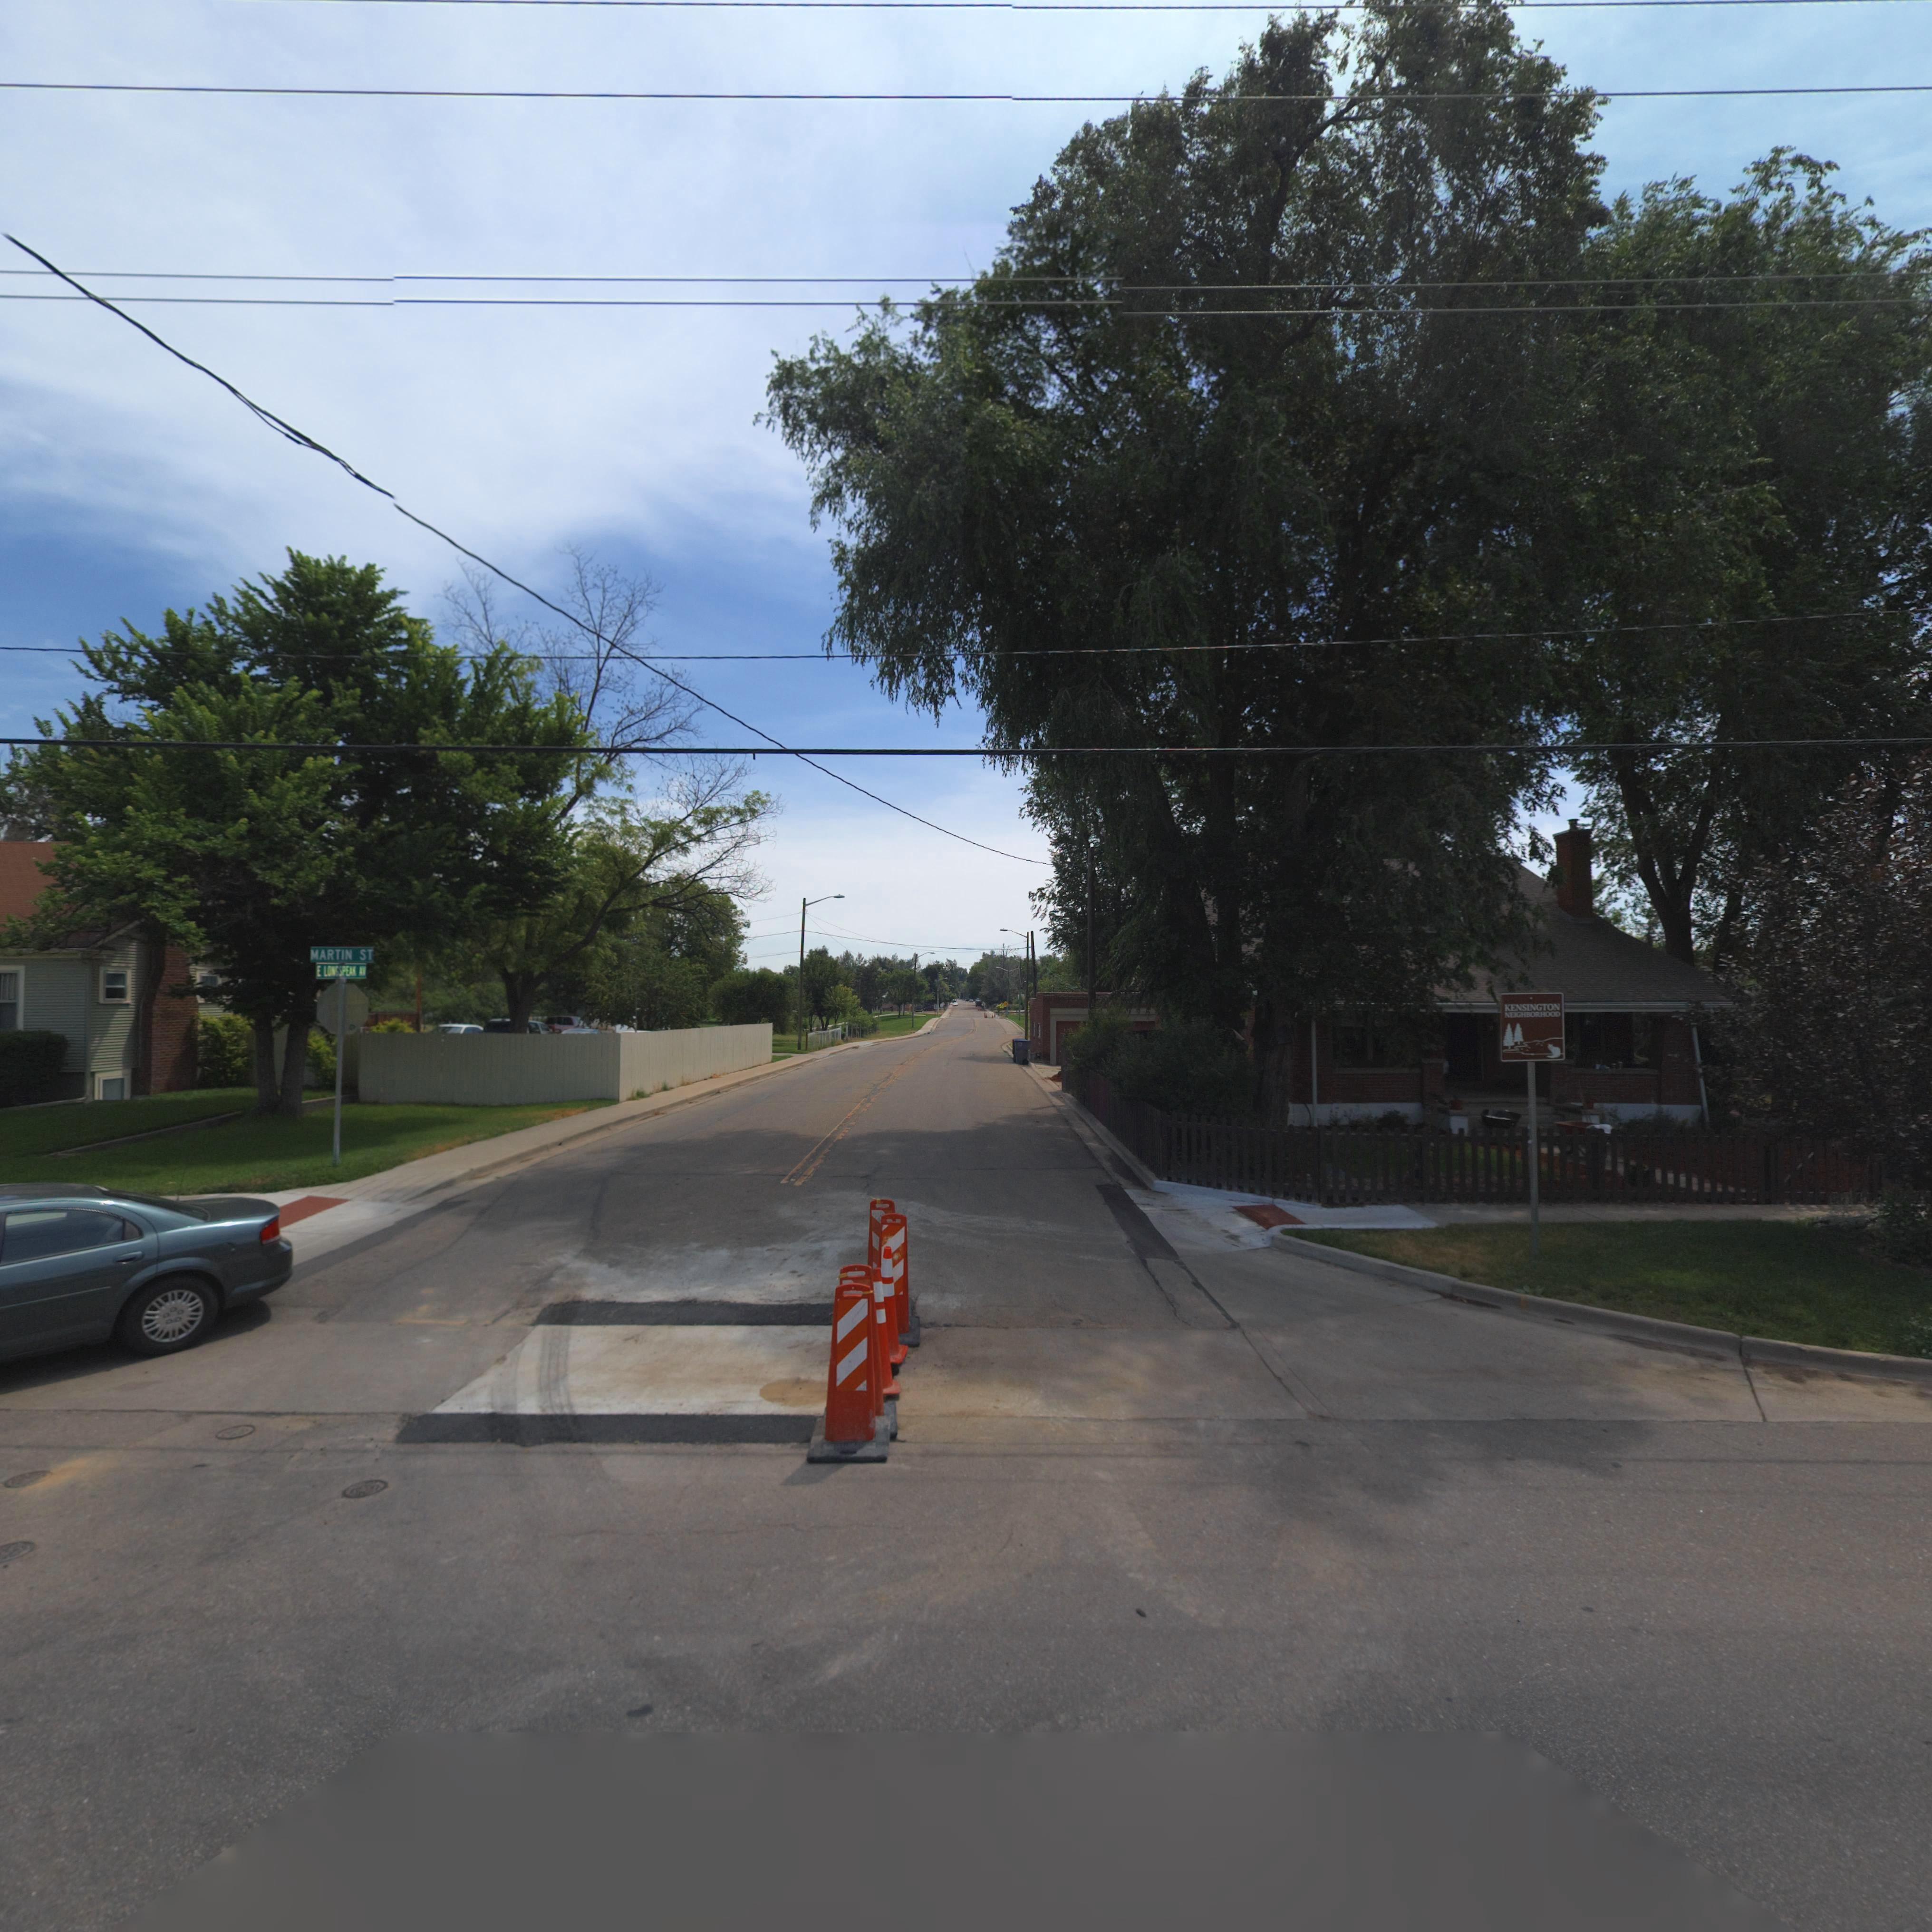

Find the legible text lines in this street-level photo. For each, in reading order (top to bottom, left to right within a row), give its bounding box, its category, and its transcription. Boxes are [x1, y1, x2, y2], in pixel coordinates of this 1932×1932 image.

[310, 949, 373, 960] StreetName: MARTIN ST
[316, 965, 366, 977] StreetName: E LONGSPEAK AV